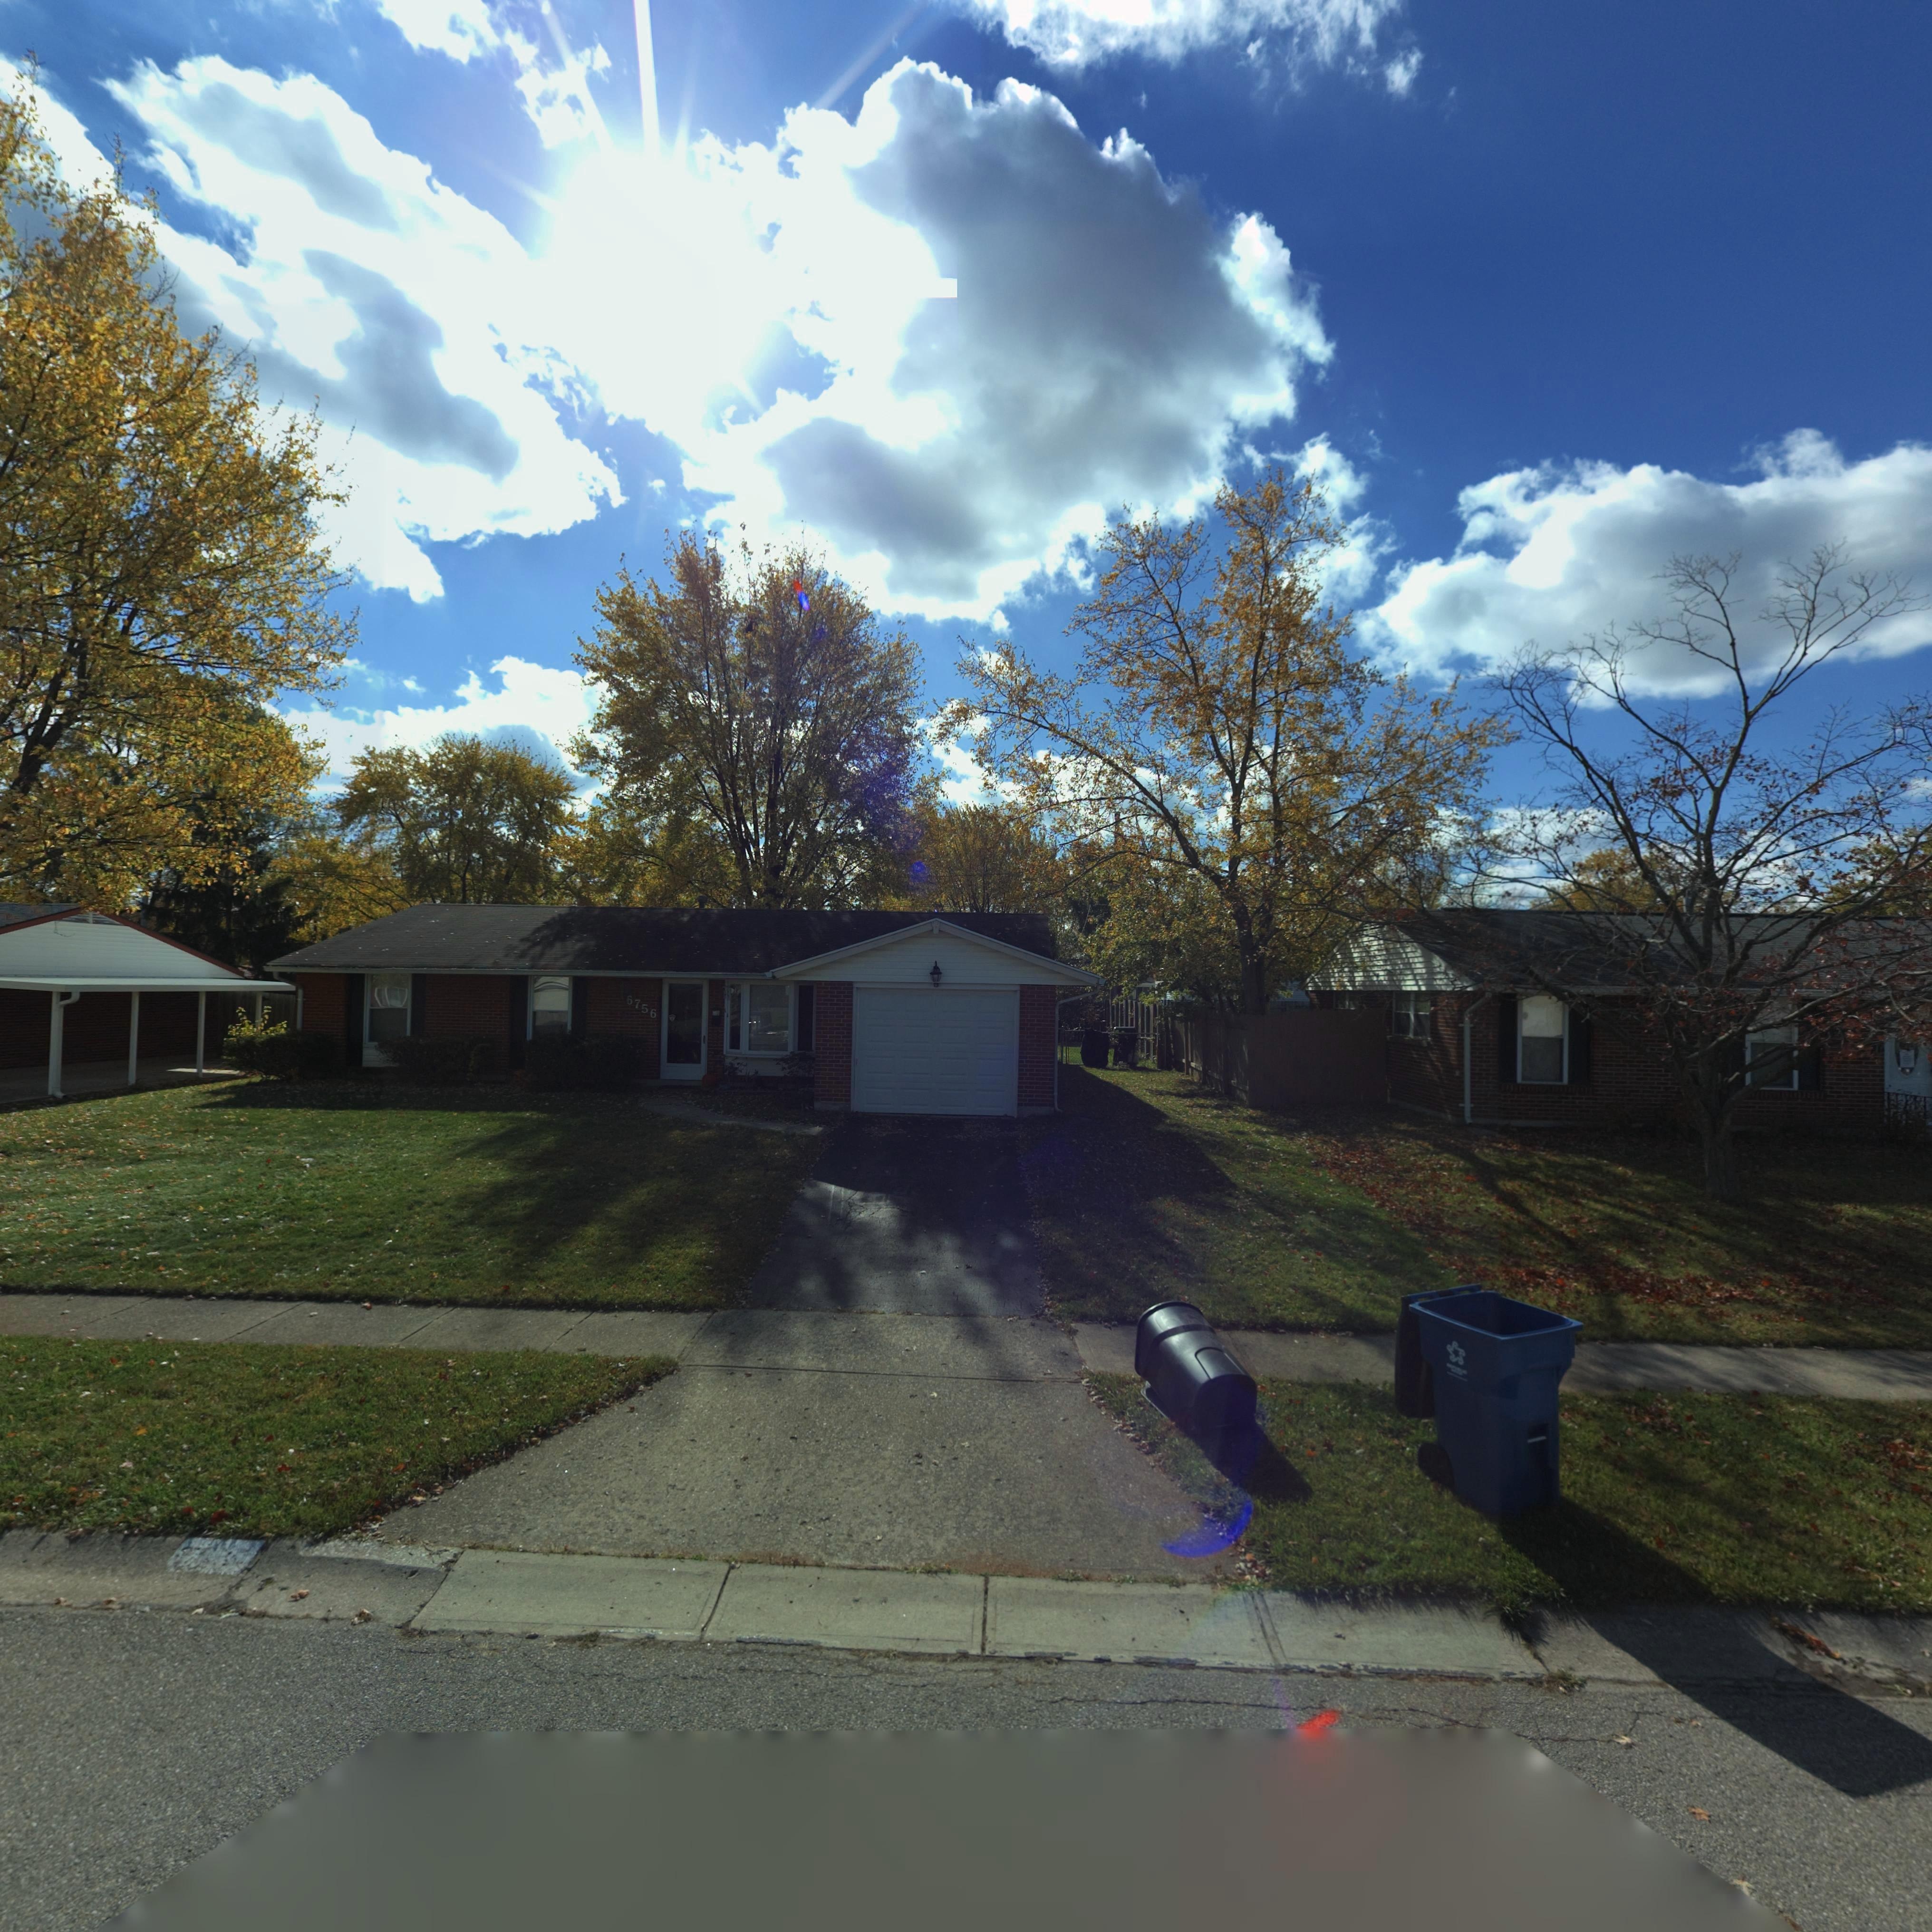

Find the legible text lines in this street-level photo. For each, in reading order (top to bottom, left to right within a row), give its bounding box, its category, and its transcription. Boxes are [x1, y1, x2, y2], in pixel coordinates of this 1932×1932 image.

[626, 995, 657, 1019] StreetNumber: 6756